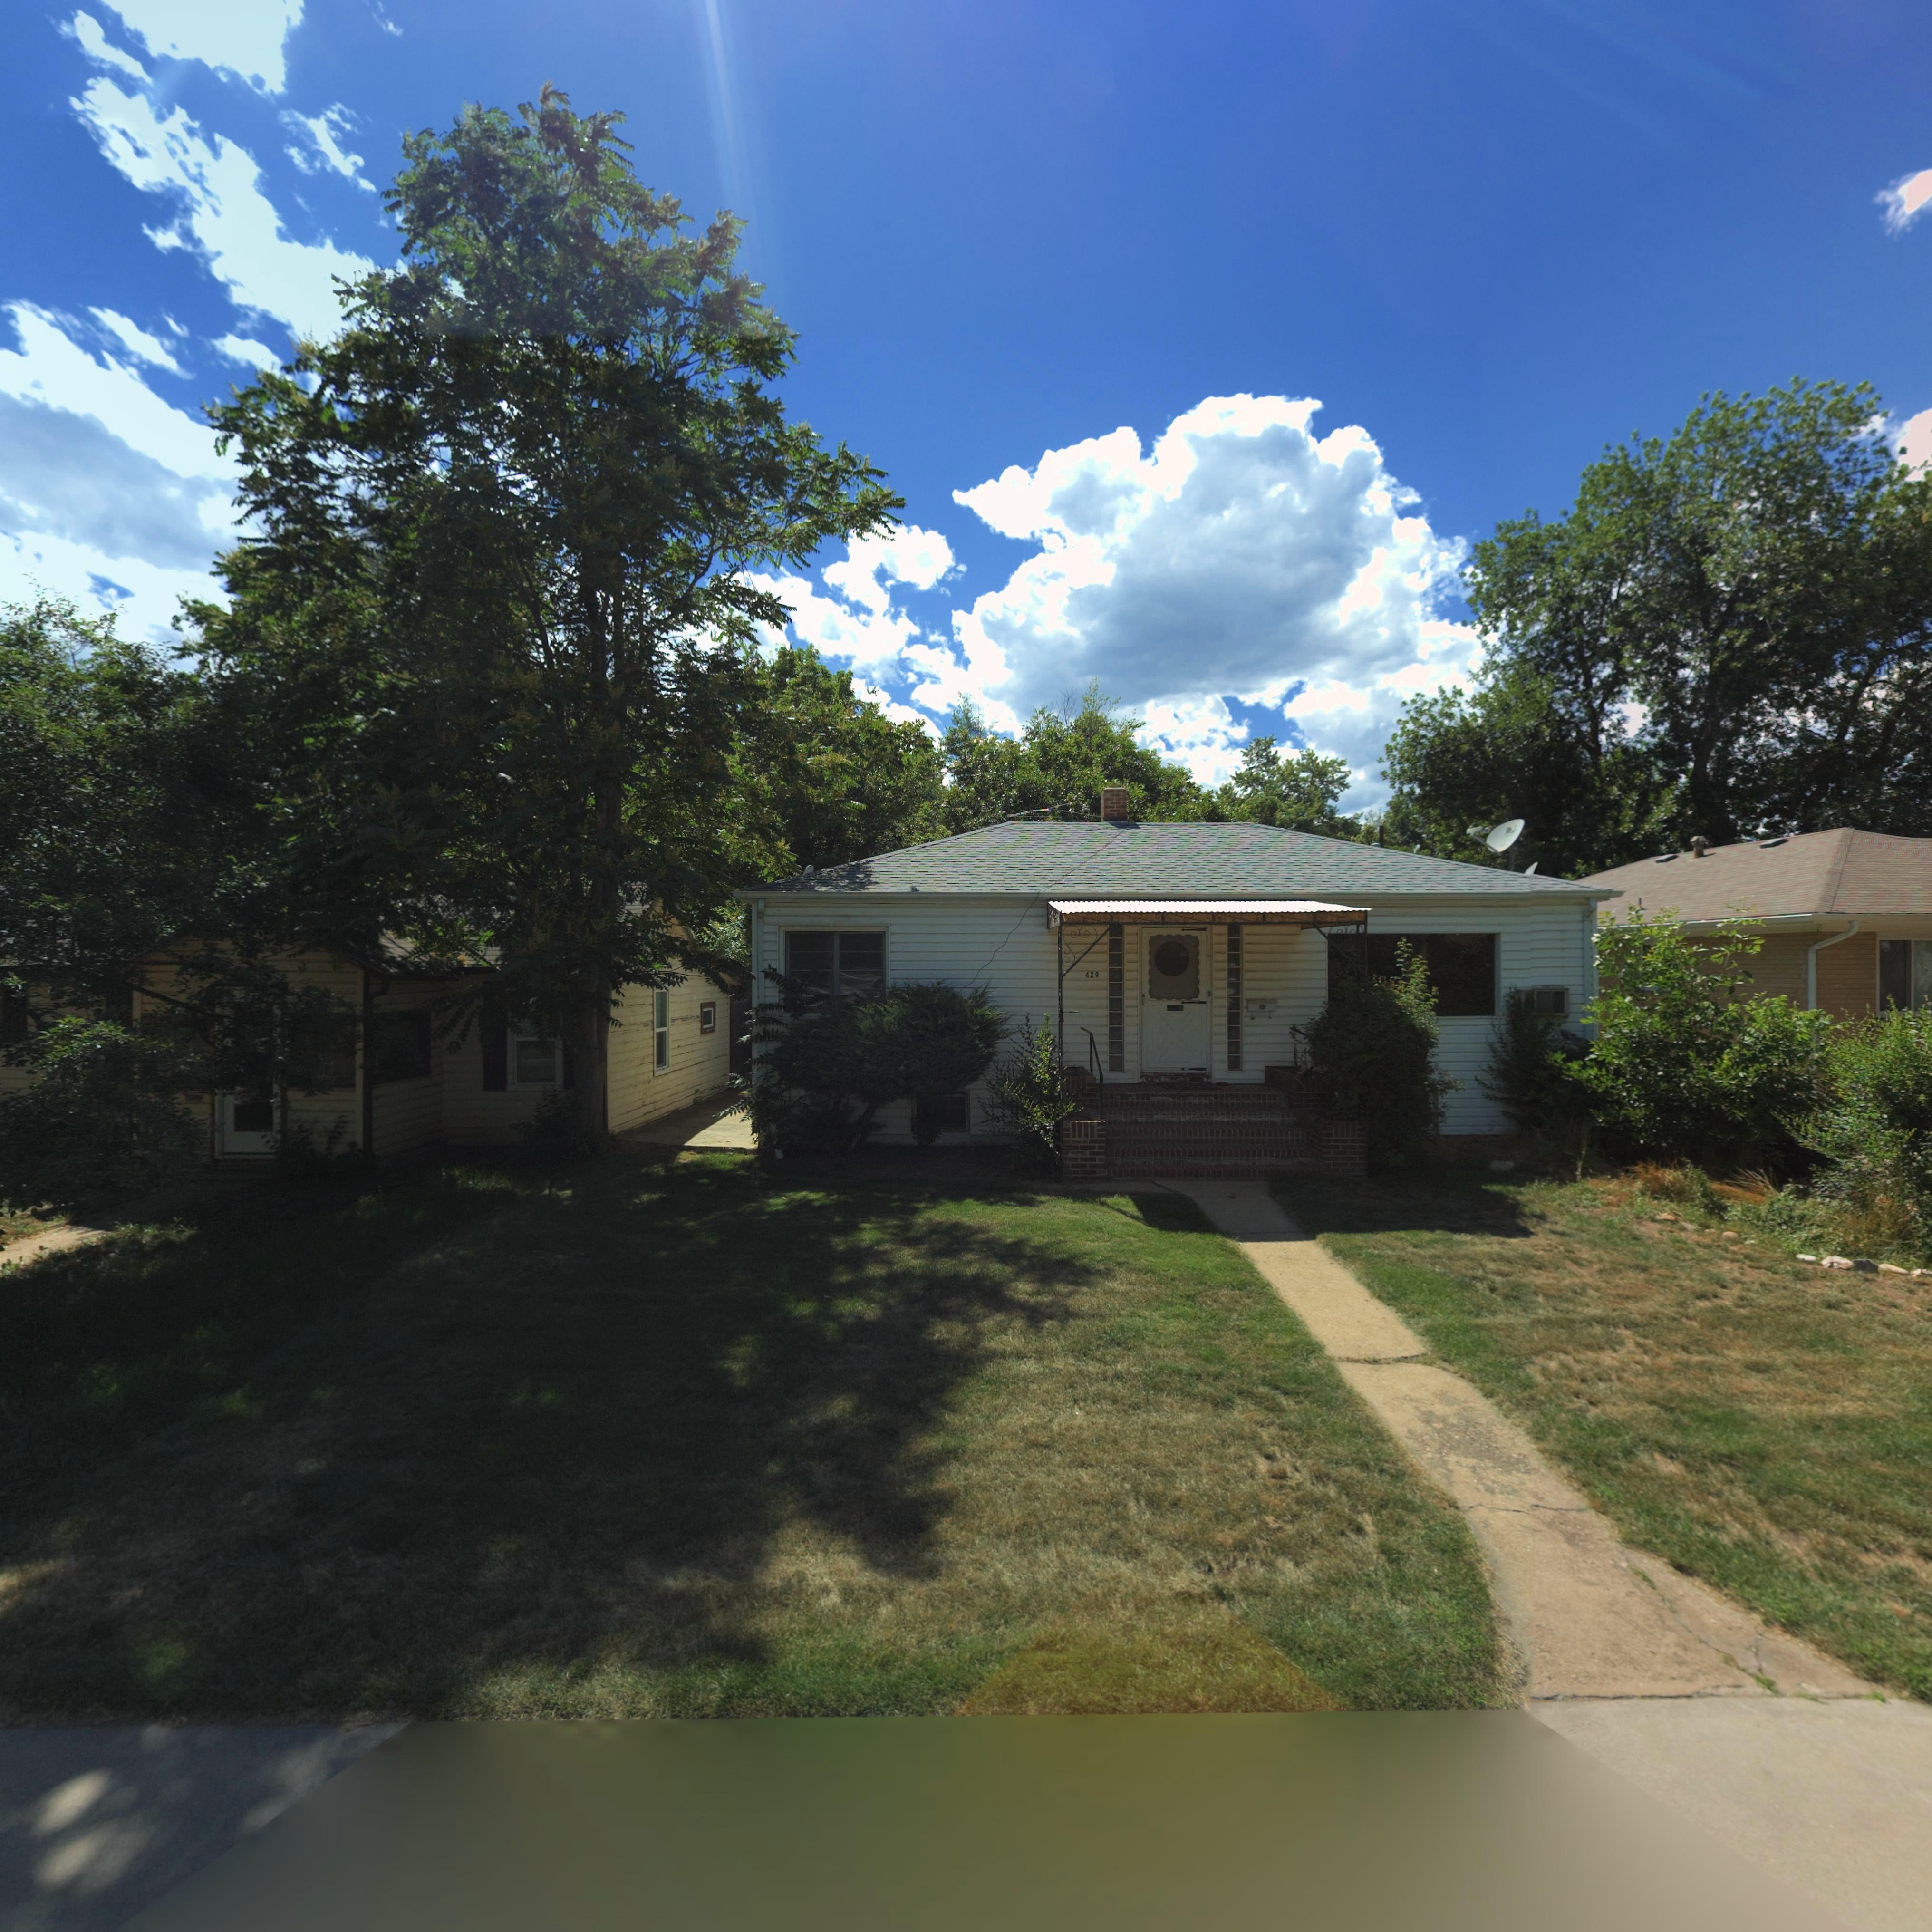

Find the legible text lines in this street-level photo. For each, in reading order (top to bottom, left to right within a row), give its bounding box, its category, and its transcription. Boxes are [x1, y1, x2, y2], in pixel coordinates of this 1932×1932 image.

[1084, 971, 1099, 978] StreetNumber: 429